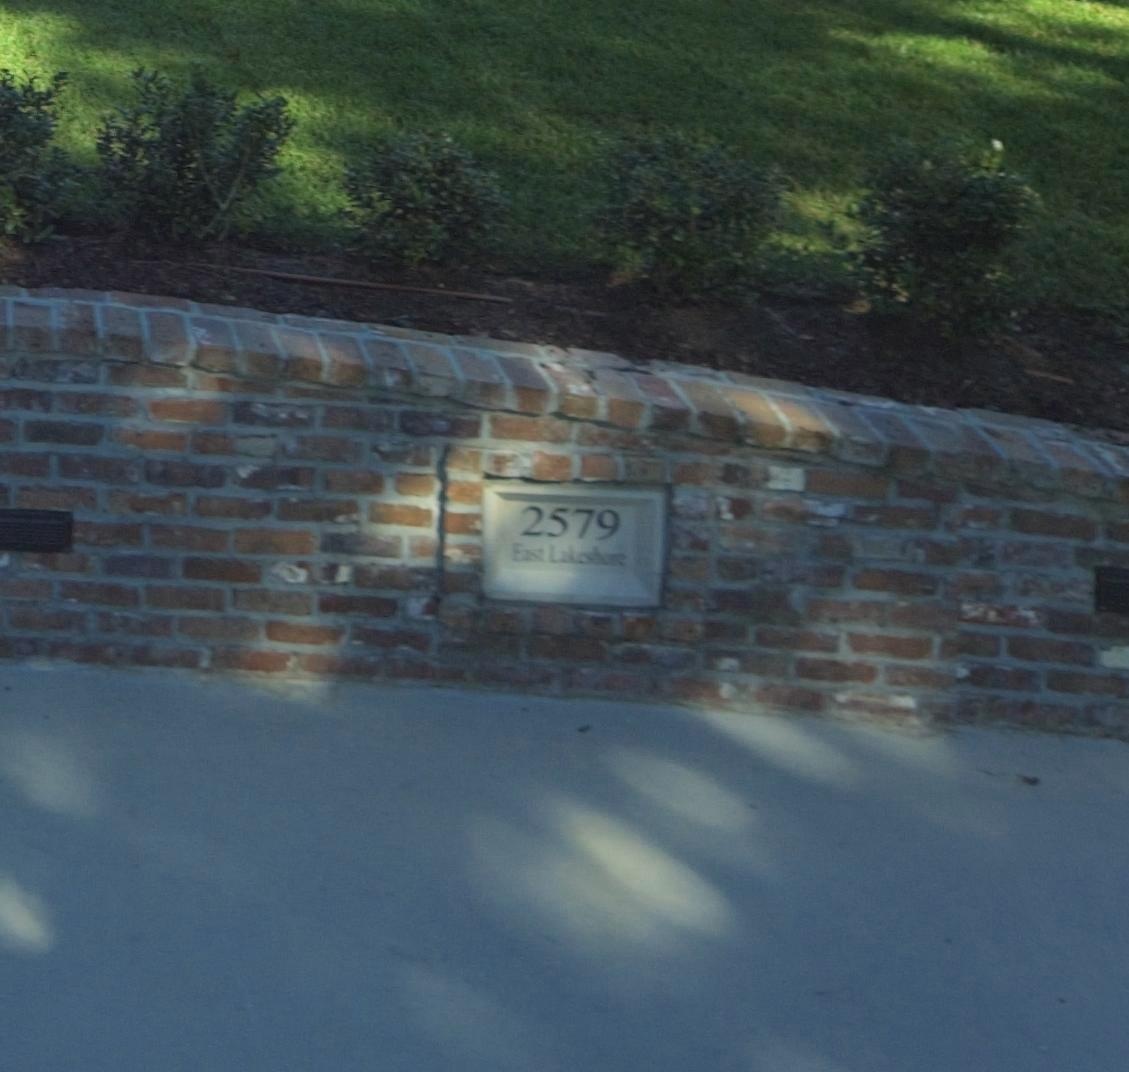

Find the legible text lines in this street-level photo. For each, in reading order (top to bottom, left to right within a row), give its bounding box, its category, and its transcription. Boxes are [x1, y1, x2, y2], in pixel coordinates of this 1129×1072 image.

[517, 502, 628, 548] StreetNumber: 2579
[509, 537, 634, 572] StreetName: Fast Lakeshore